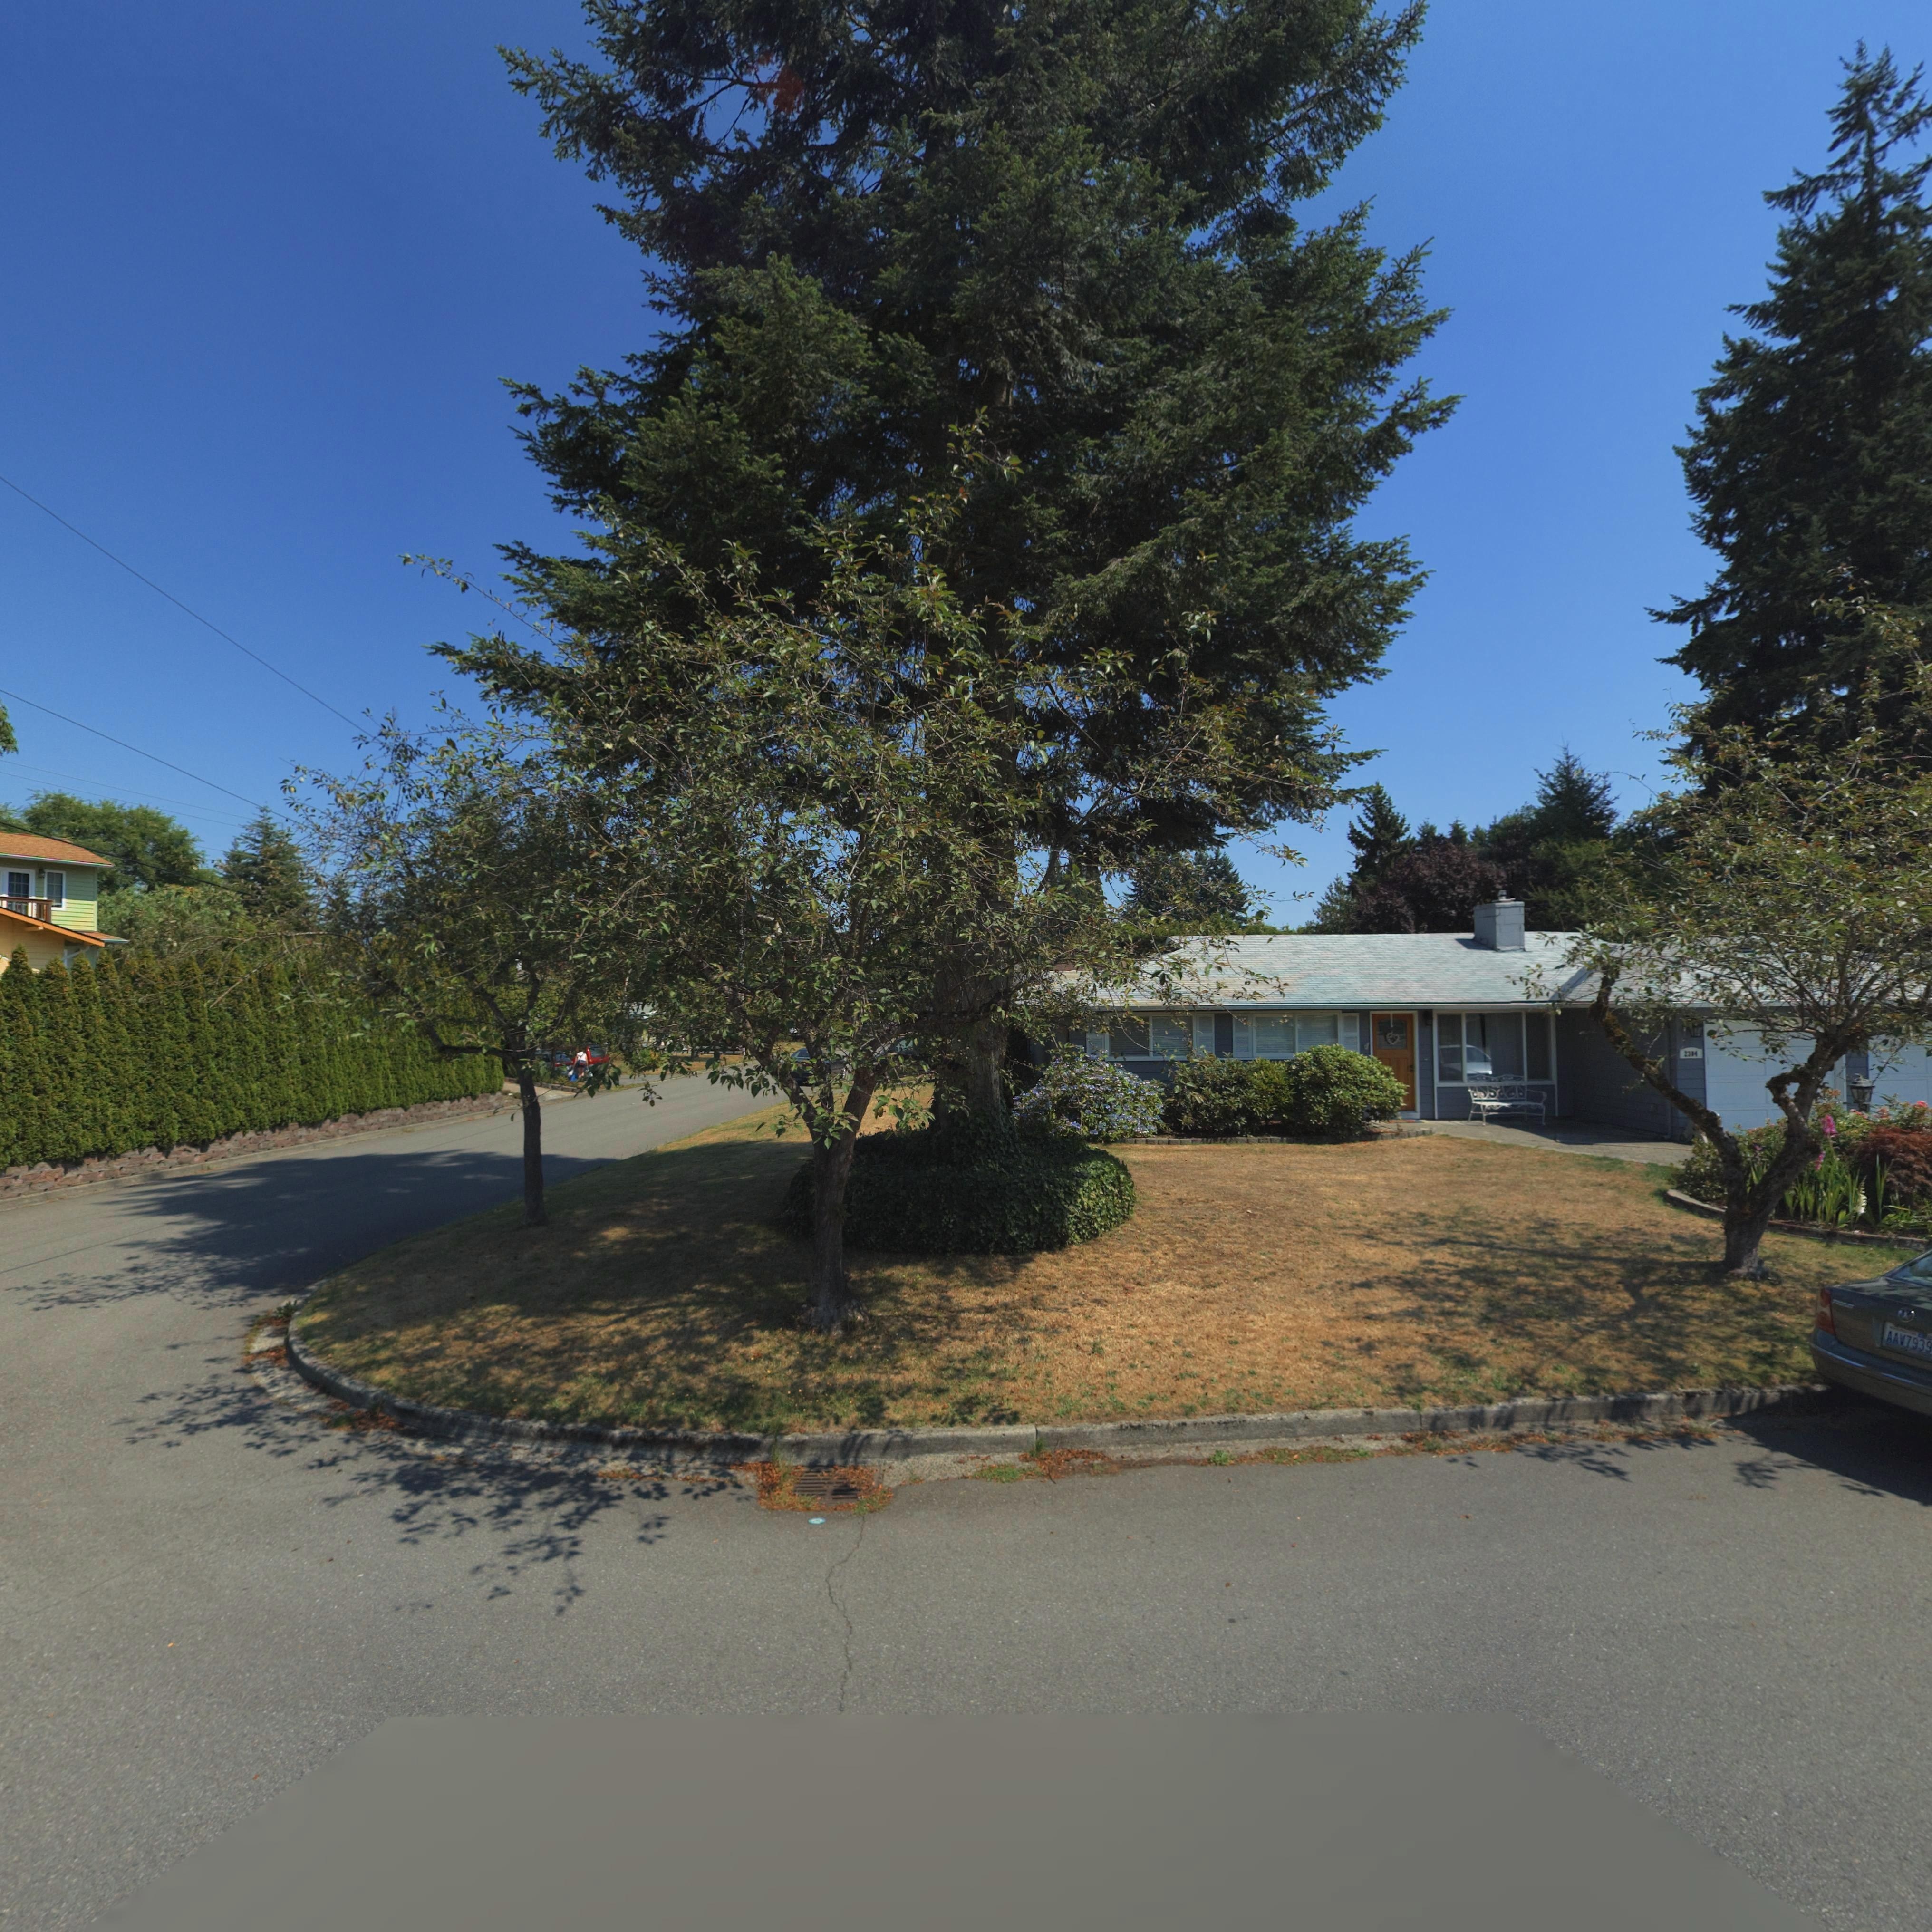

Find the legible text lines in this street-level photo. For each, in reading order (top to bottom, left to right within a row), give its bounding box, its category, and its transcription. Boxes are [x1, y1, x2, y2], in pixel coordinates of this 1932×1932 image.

[1684, 1051, 1698, 1057] StreetNumber: 2314